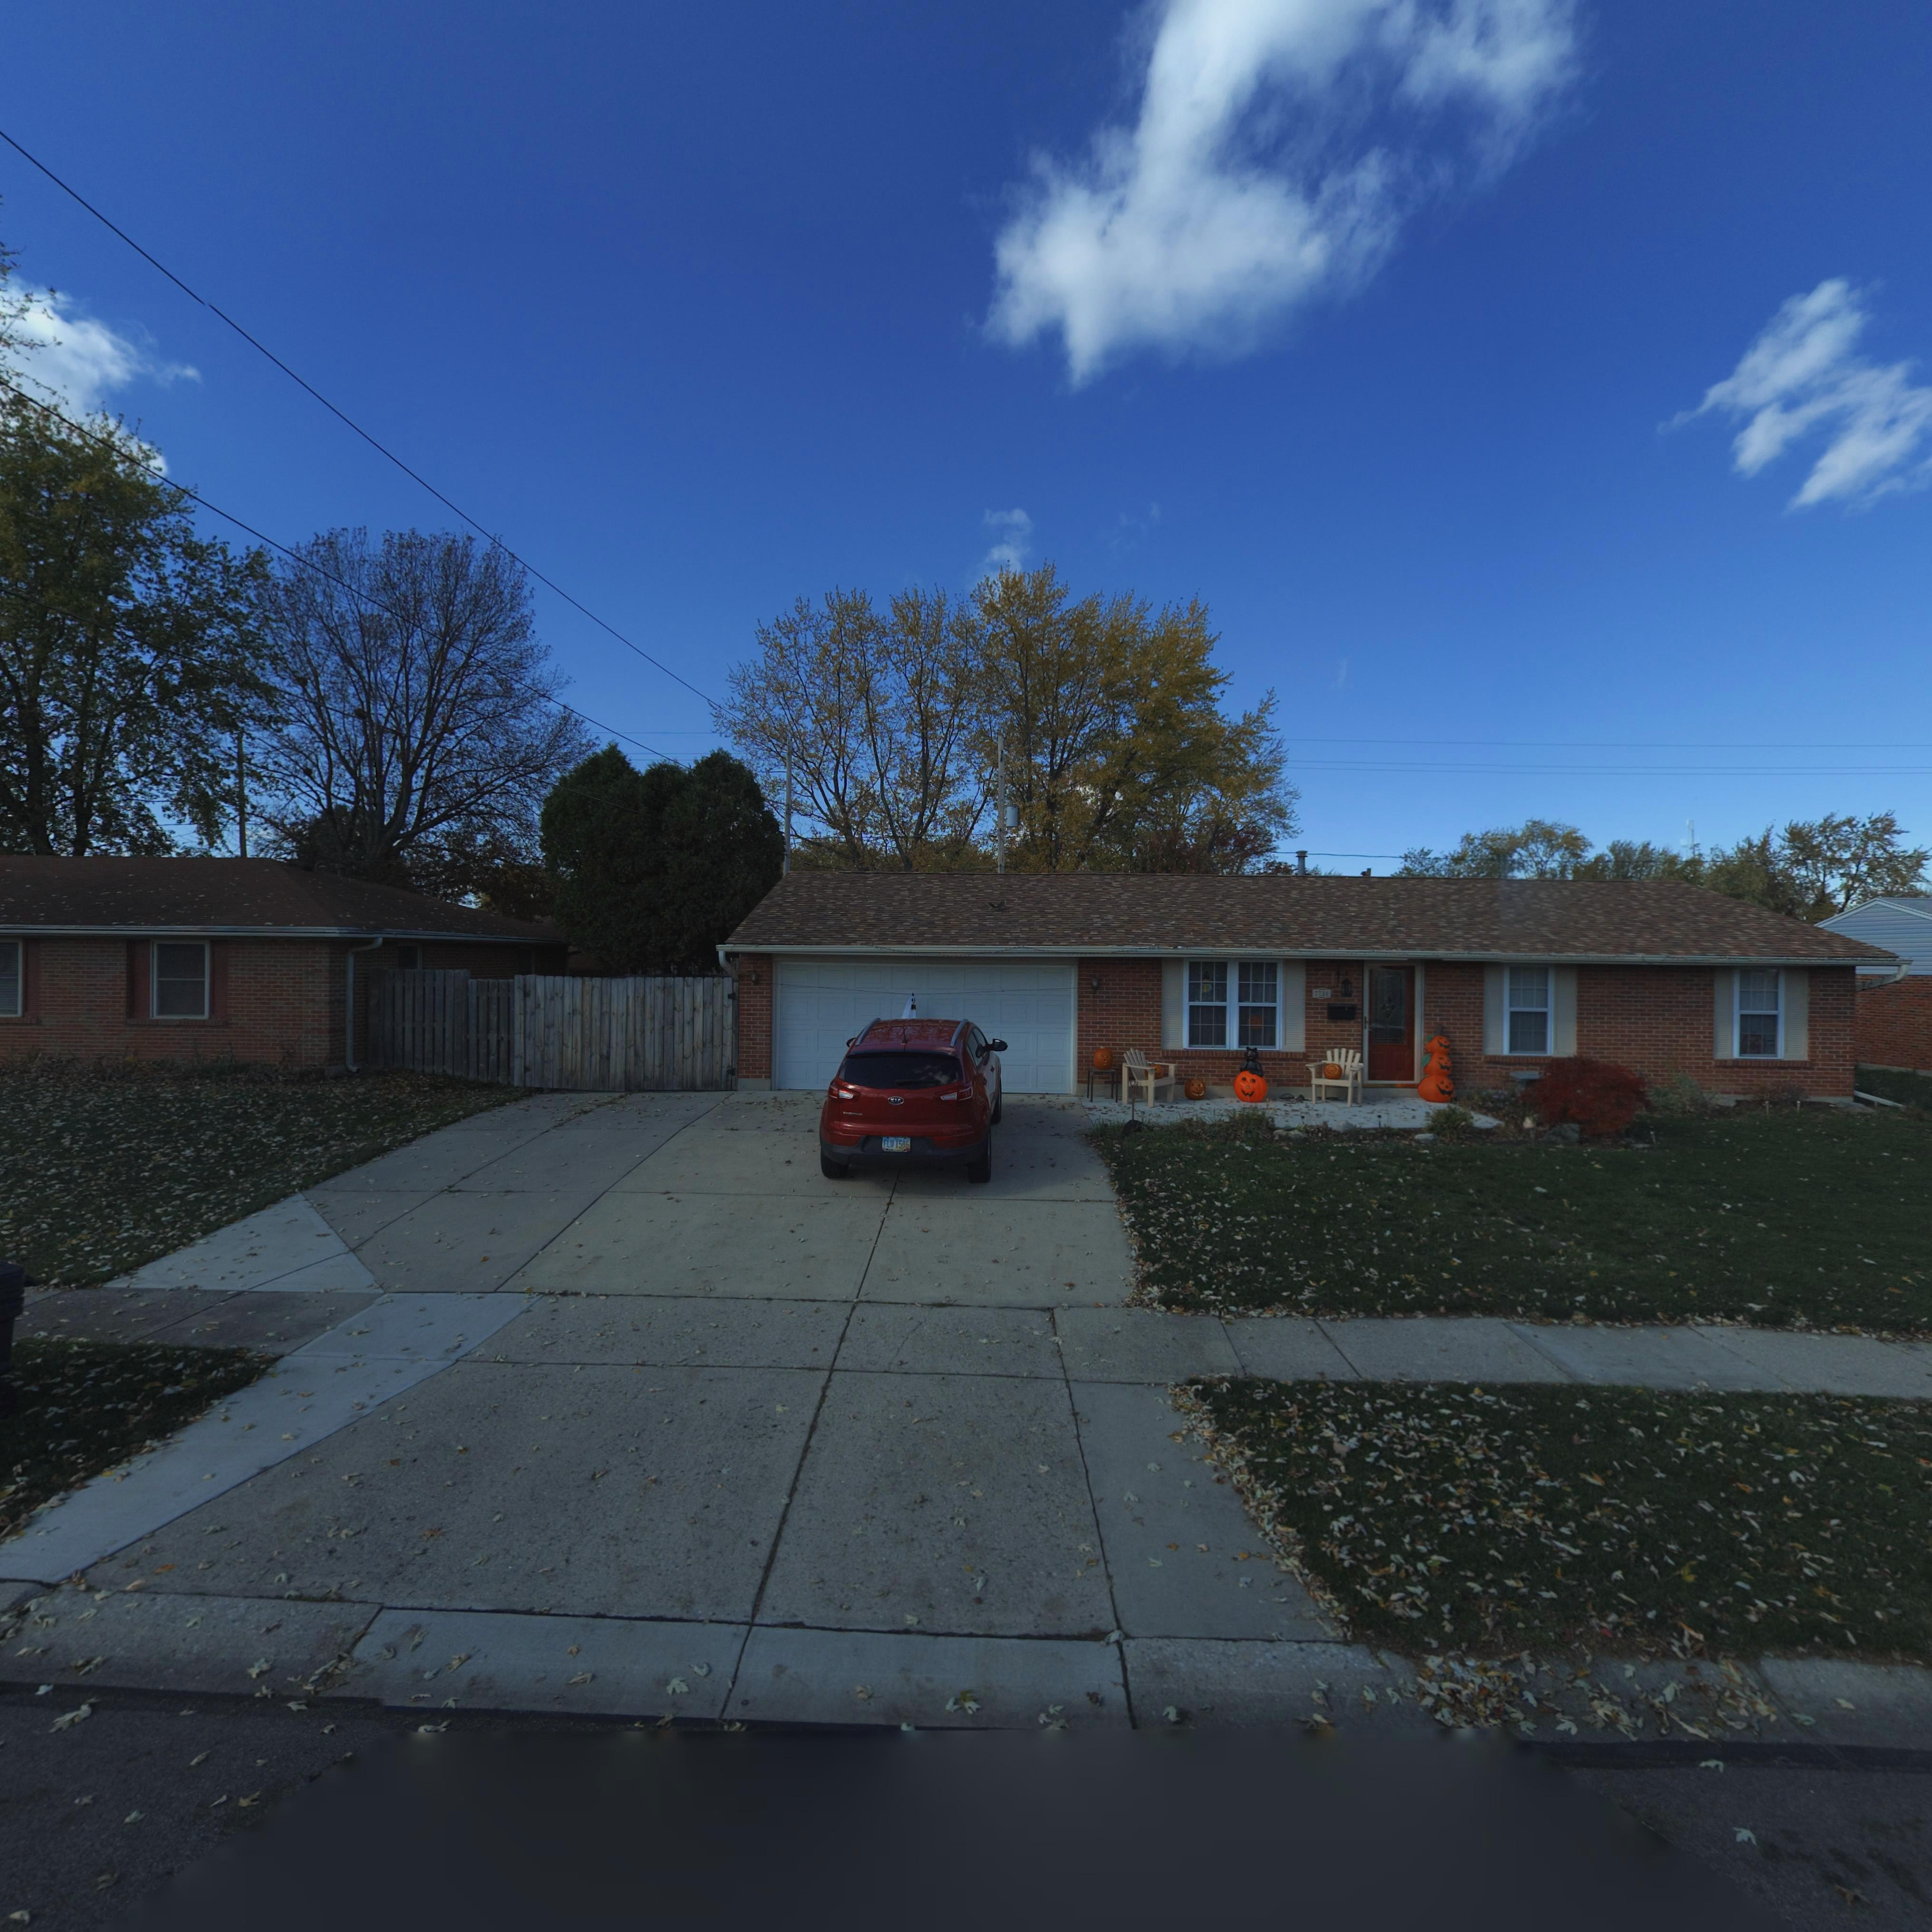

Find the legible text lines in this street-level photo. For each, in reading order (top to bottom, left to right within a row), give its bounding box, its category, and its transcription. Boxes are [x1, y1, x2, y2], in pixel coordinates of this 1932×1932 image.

[1314, 990, 1329, 998] StreetNumber: 7731